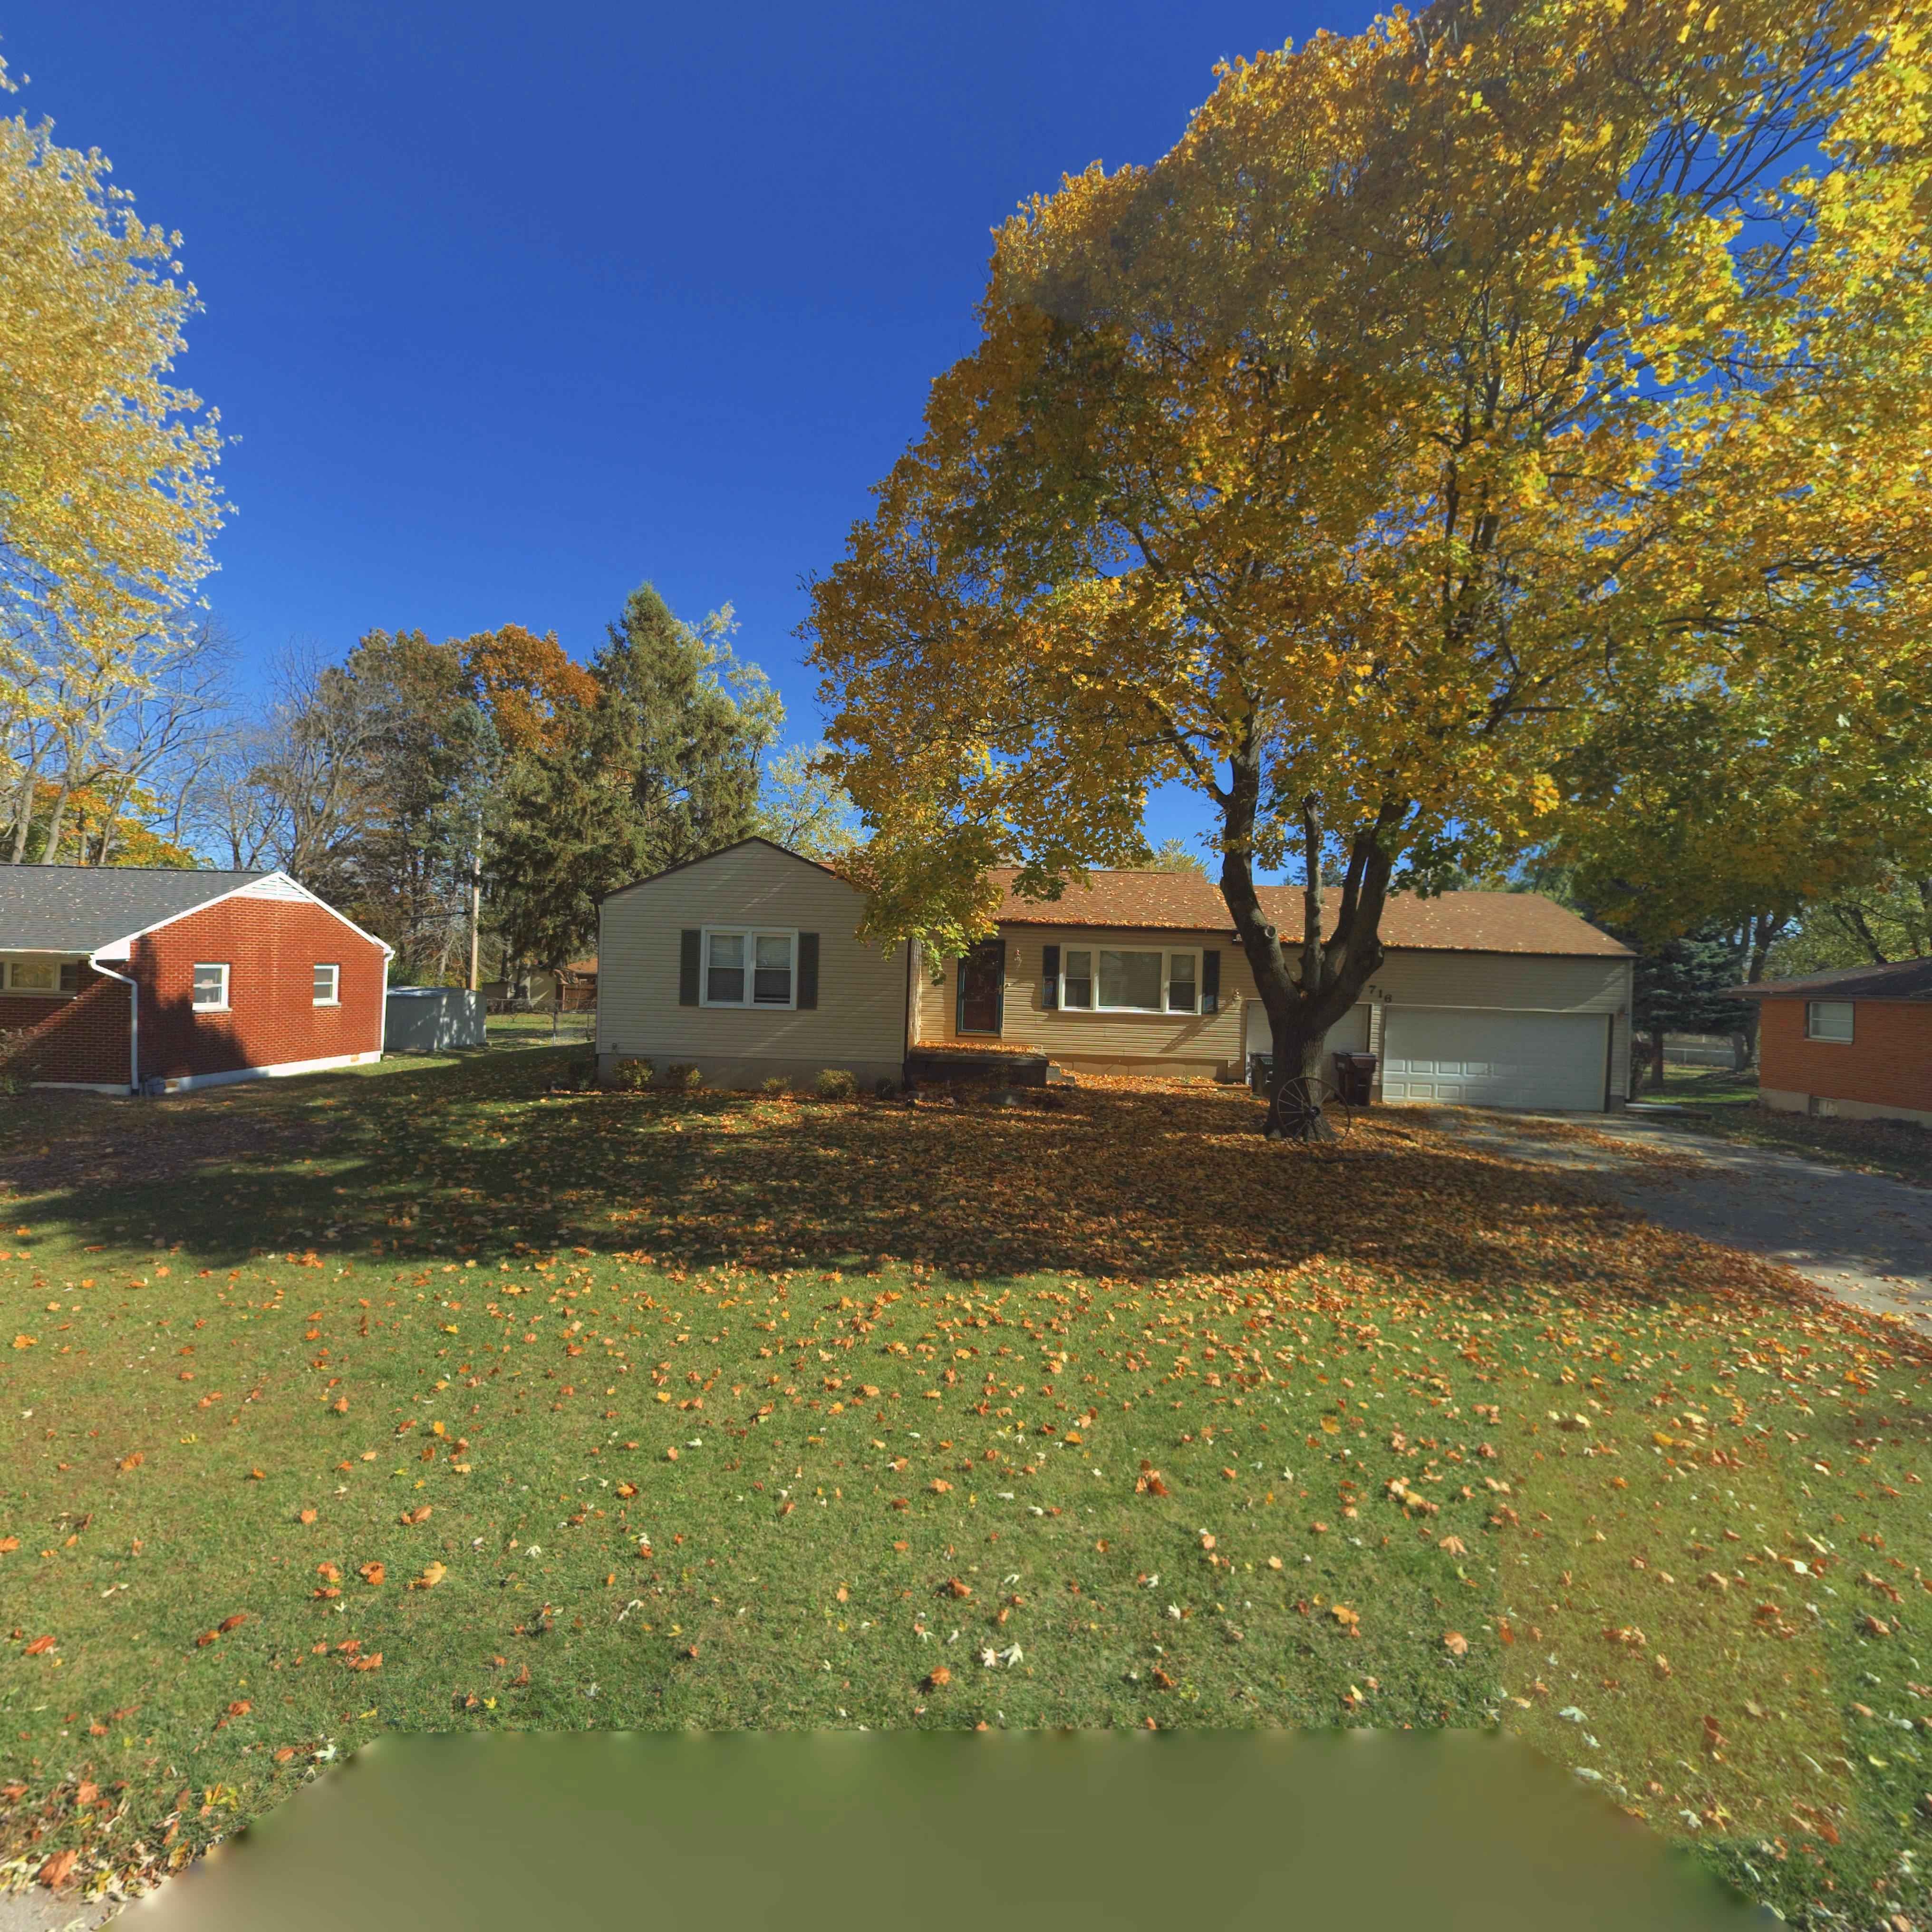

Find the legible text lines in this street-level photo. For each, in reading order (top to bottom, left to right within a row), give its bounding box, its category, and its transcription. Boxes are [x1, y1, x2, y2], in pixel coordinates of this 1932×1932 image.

[1369, 985, 1393, 1003] StreetNumber: 716